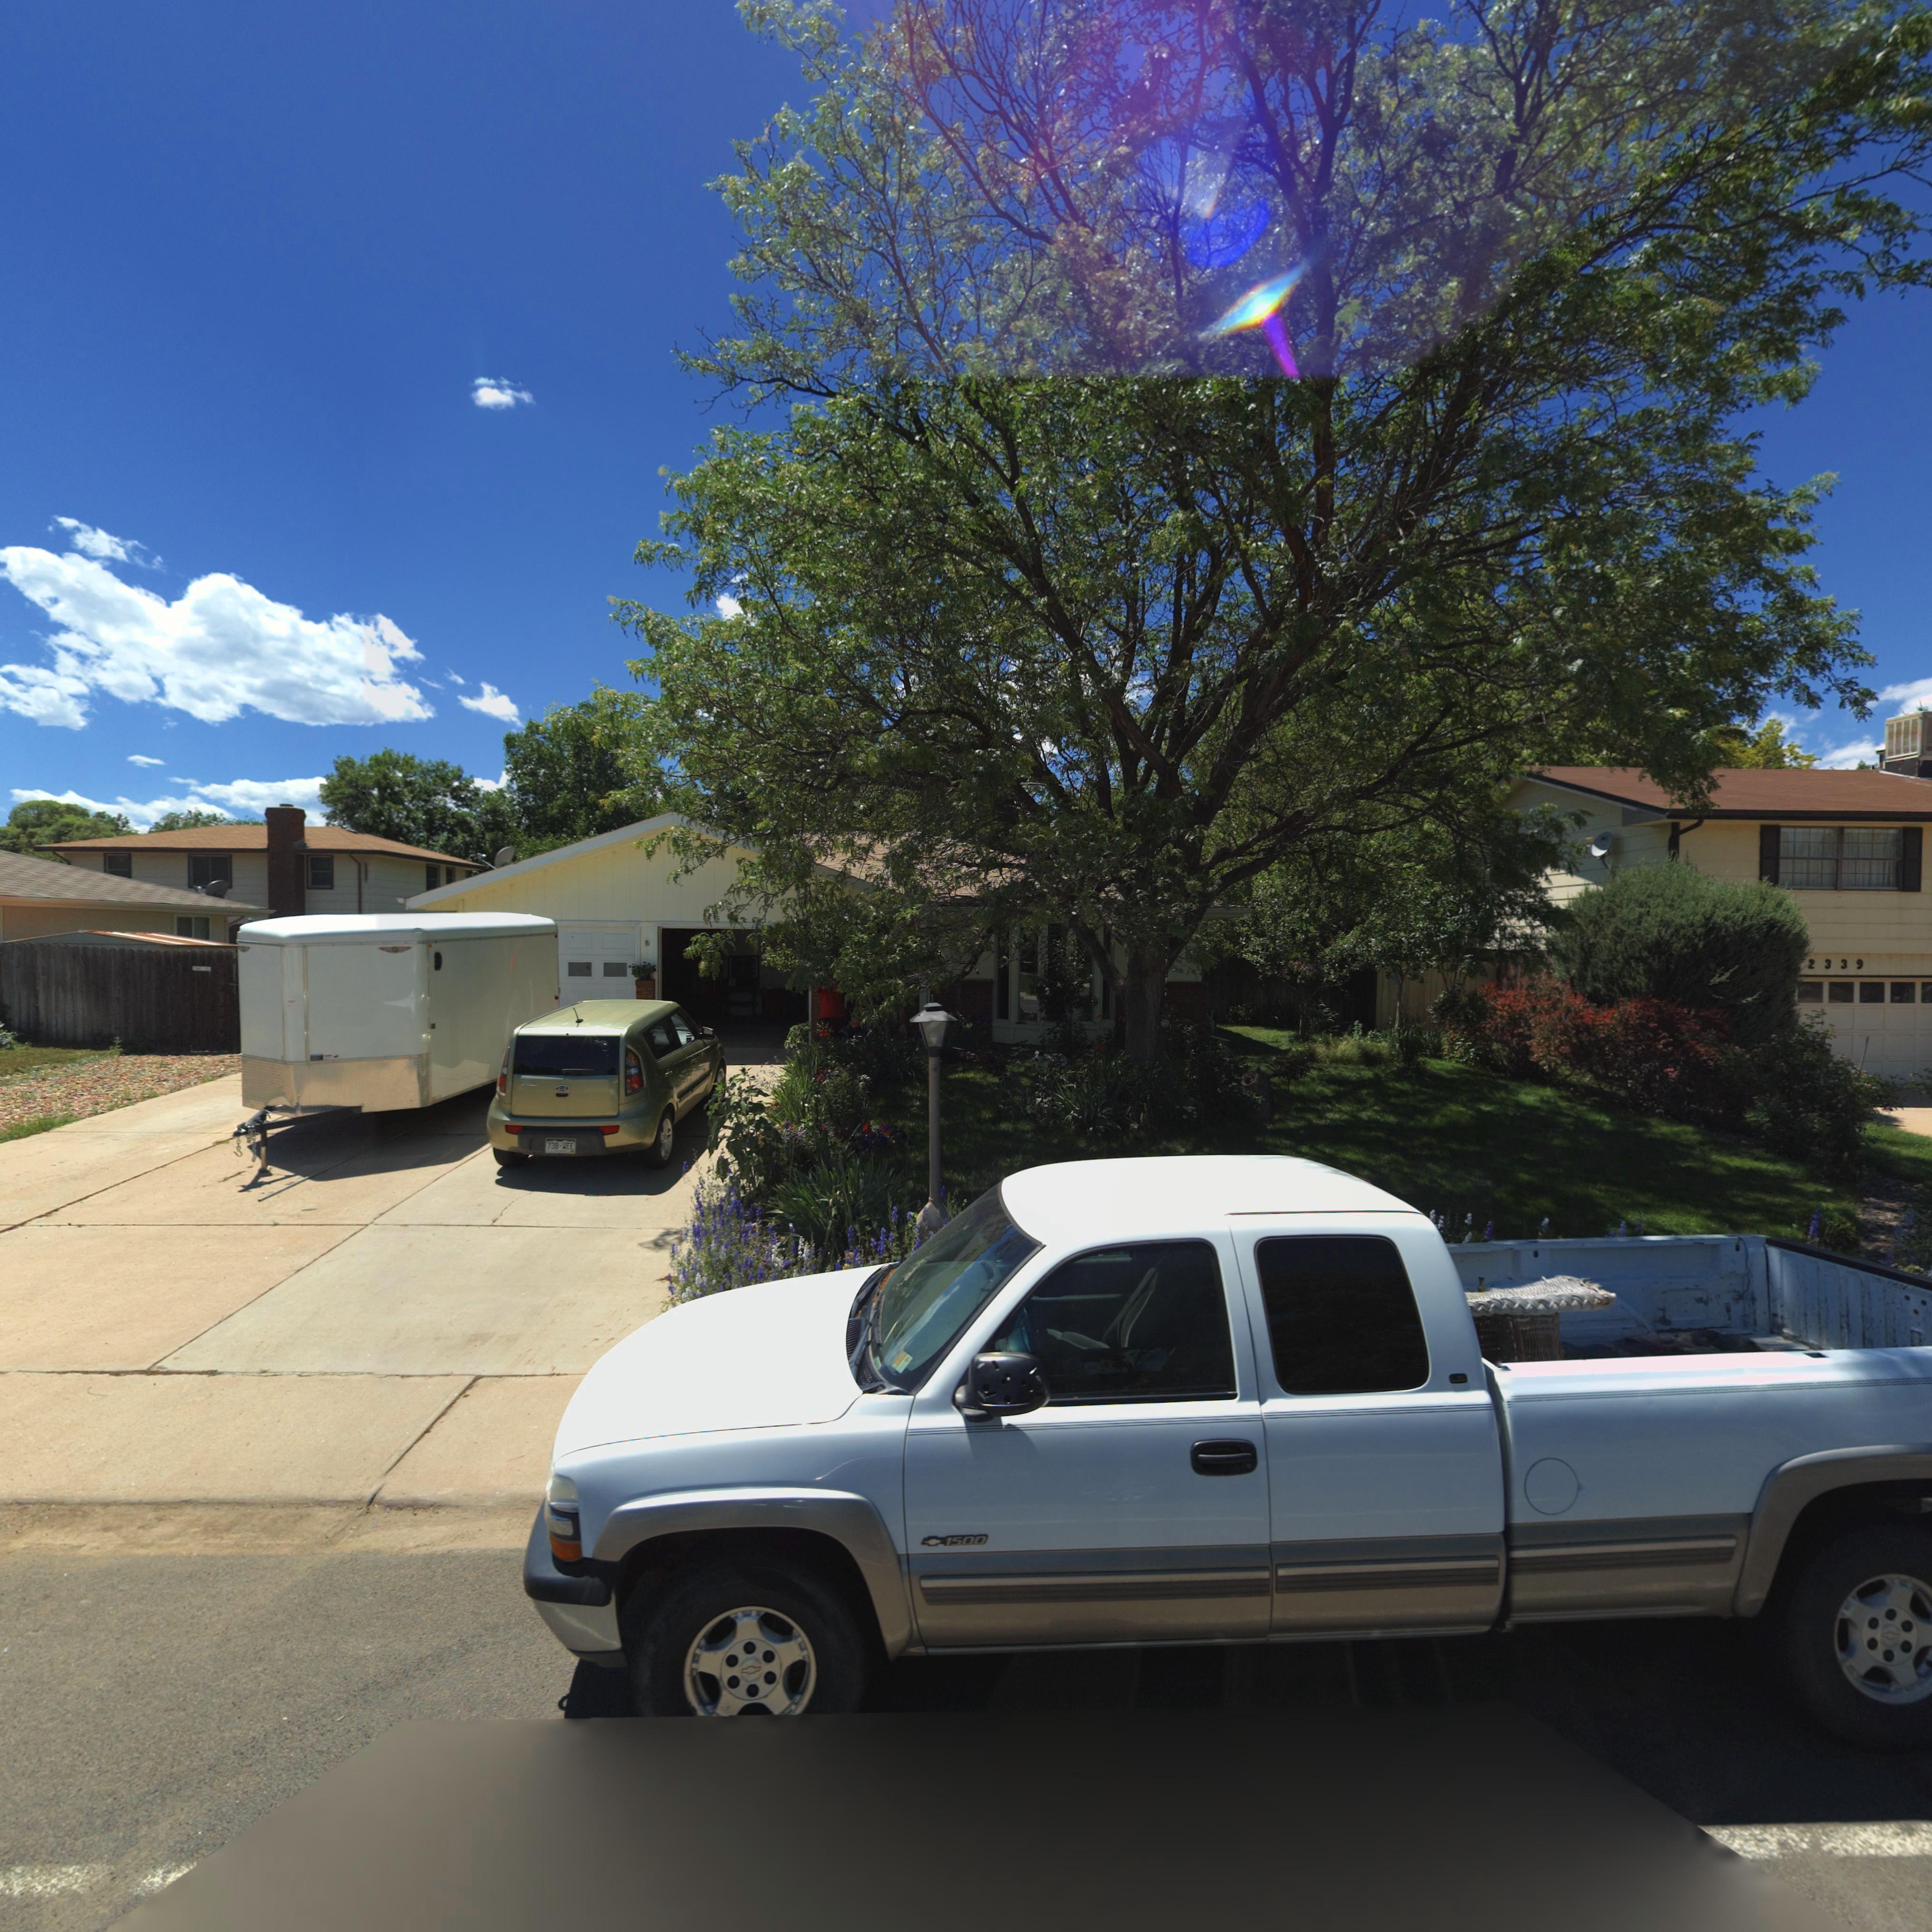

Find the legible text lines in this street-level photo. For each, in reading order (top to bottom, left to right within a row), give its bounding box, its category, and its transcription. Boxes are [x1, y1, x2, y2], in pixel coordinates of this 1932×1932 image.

[1807, 958, 1863, 969] StreetNumber: 2339